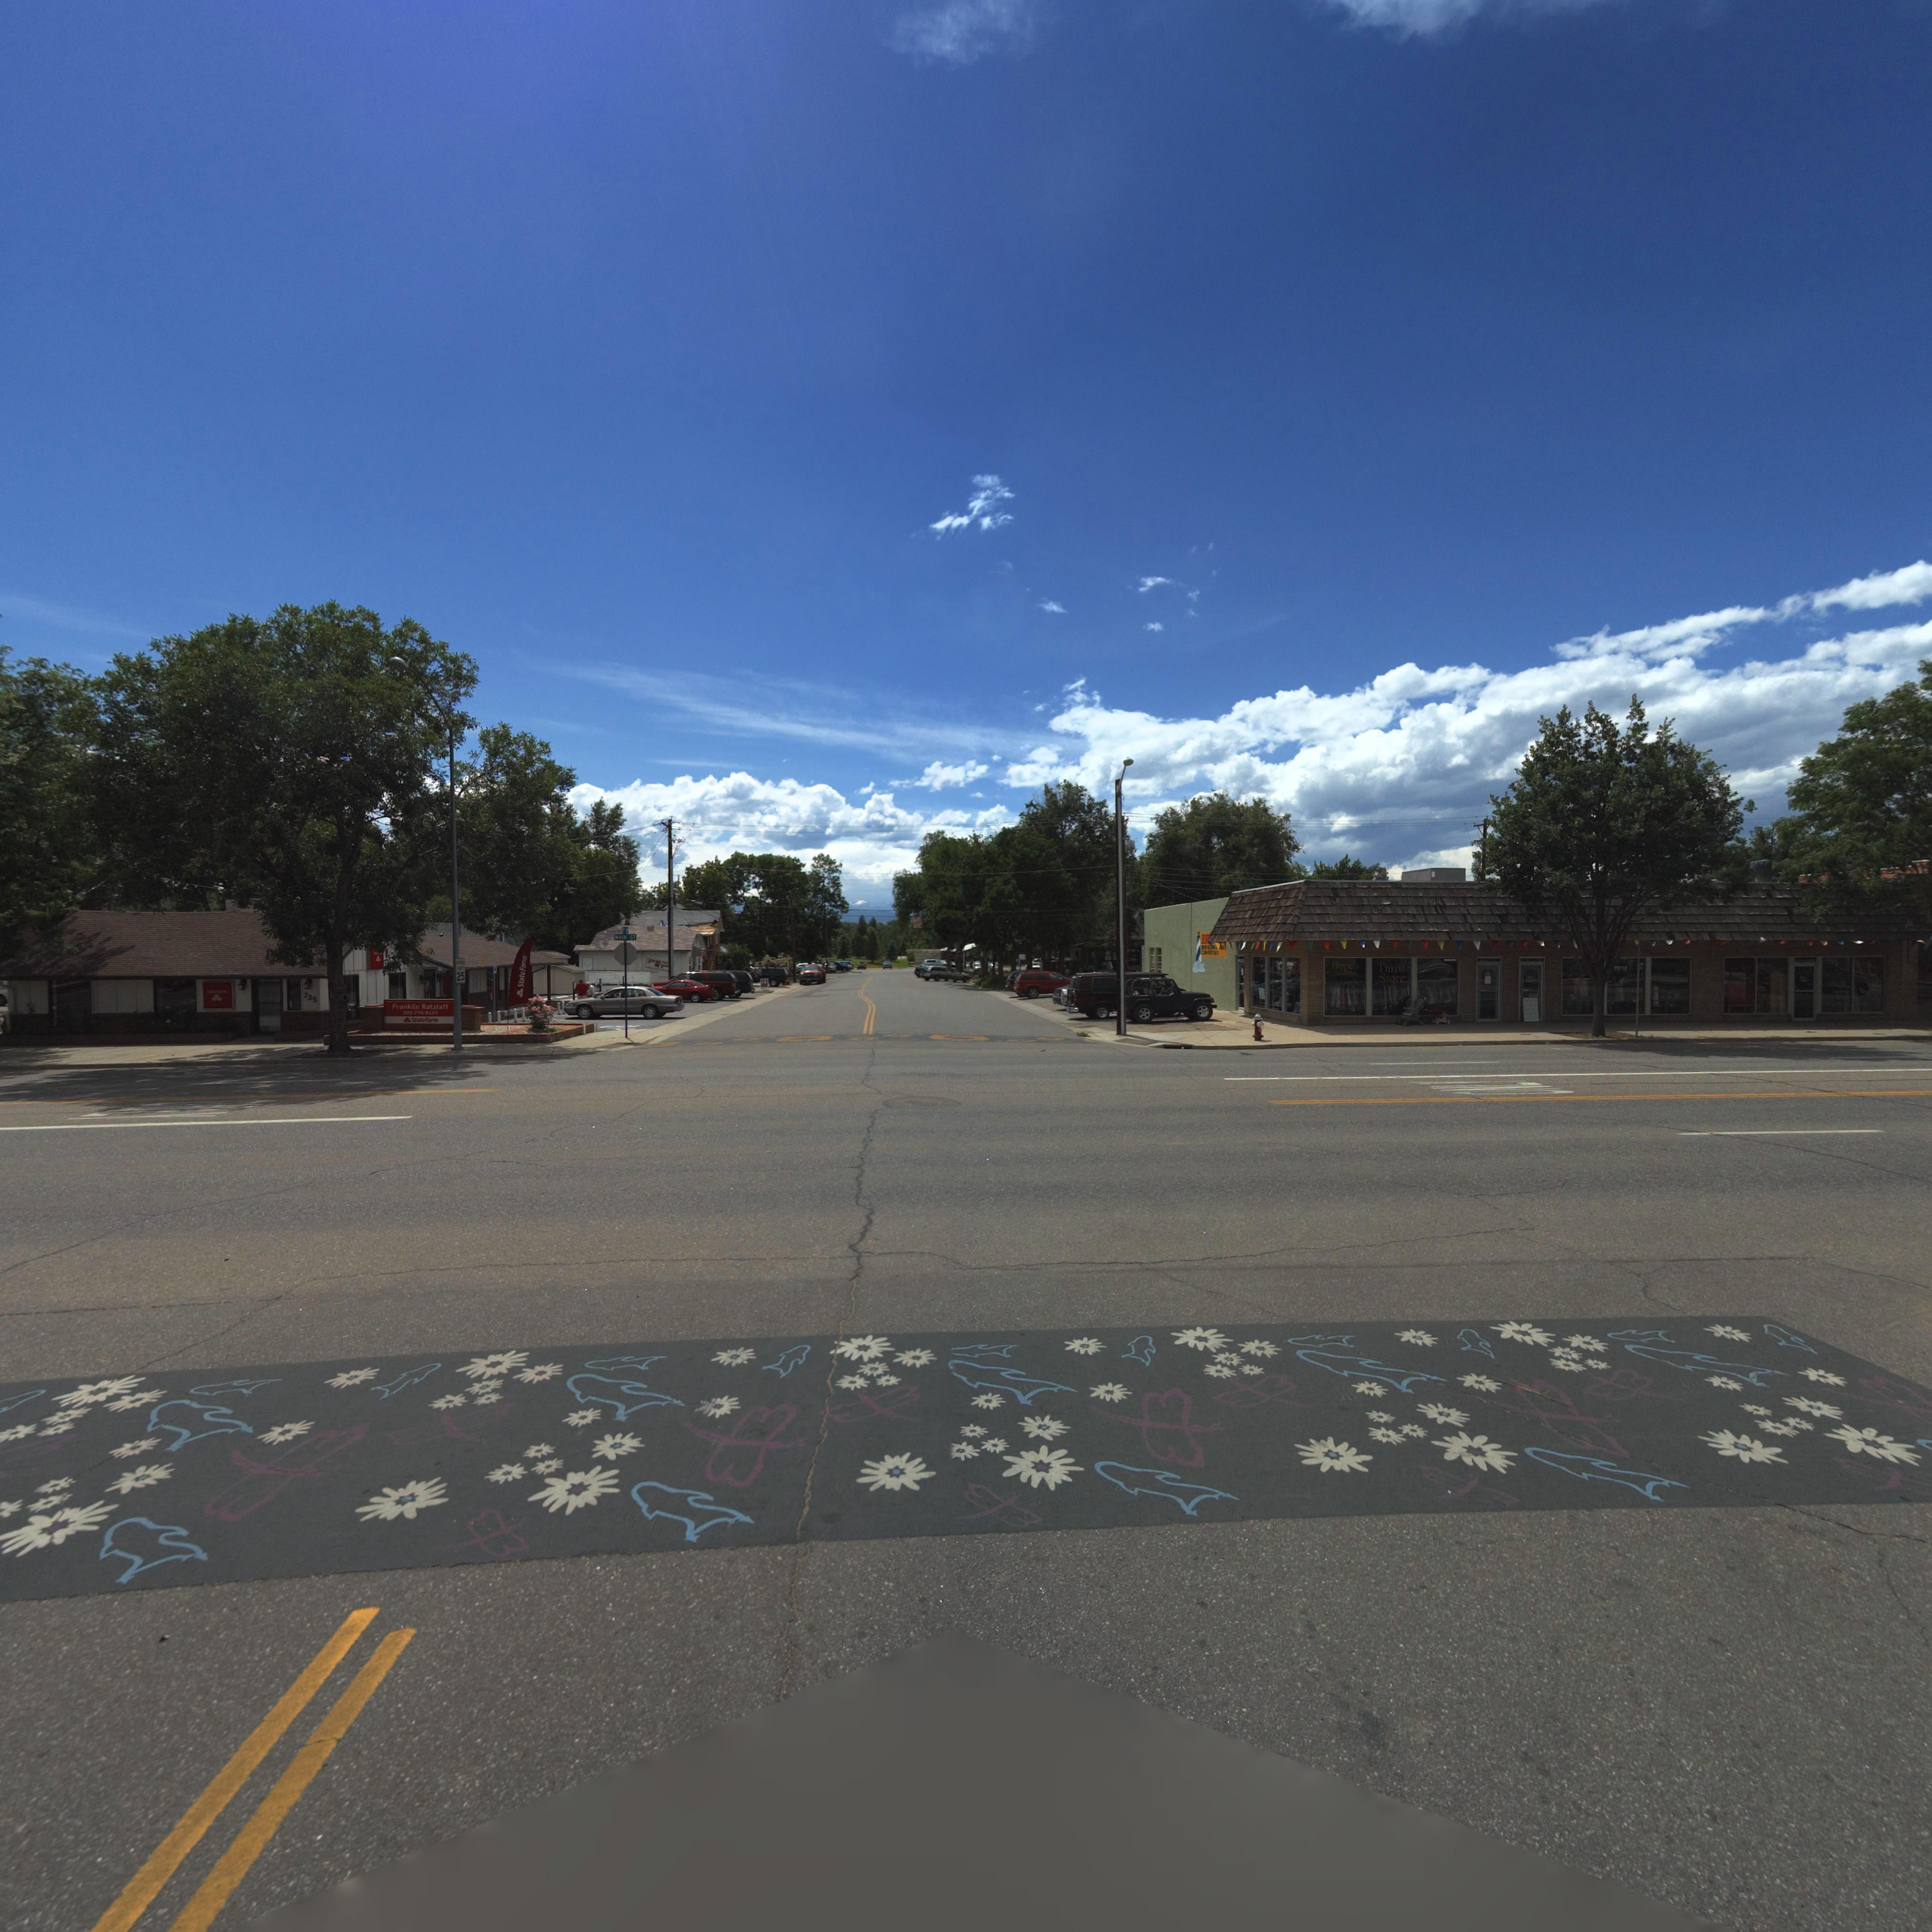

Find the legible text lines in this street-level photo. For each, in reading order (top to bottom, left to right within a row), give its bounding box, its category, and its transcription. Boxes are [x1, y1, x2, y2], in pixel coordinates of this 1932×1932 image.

[615, 934, 635, 940] StreetName: MAIN ST
[1201, 934, 1209, 944] BusinessName: H*
[517, 955, 528, 988] BusinessName: State Farm
[1331, 960, 1360, 972] BusinessName: Hope's
[1377, 962, 1405, 973] BusinessName: Thrift
[1379, 972, 1405, 983] BusinessName: Store
[206, 989, 227, 994] BusinessName: State Farm
[304, 992, 317, 1003] StreetNumber: 735
[411, 1017, 438, 1023] BusinessName: State Farm